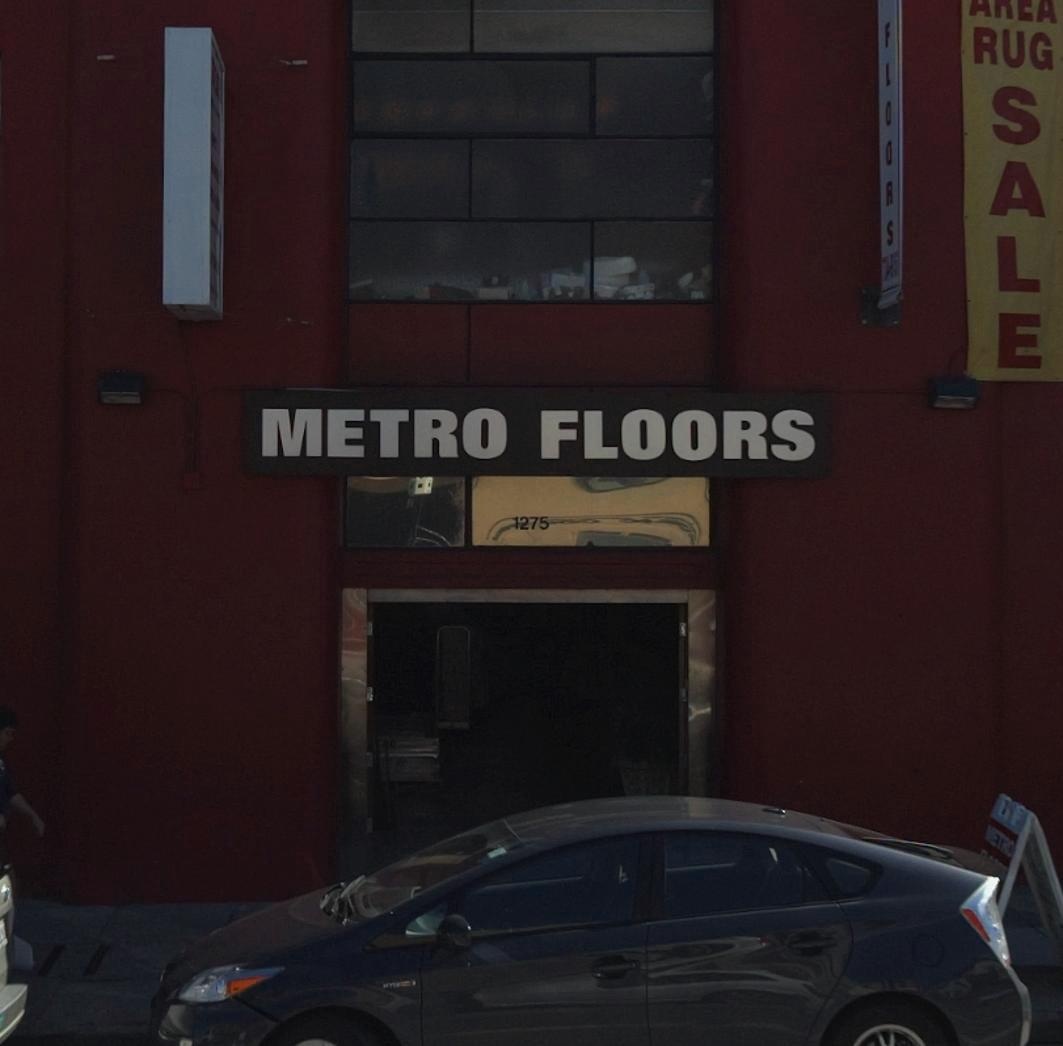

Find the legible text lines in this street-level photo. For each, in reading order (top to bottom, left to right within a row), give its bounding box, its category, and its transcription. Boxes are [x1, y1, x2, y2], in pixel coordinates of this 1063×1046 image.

[966, 21, 1058, 80] None: RUG
[879, 13, 902, 252] None: FLOORS
[987, 78, 1047, 376] None: SALE
[256, 399, 820, 466] BusinessName: METRO FLOORS
[509, 513, 552, 533] StreetNumber: 1275